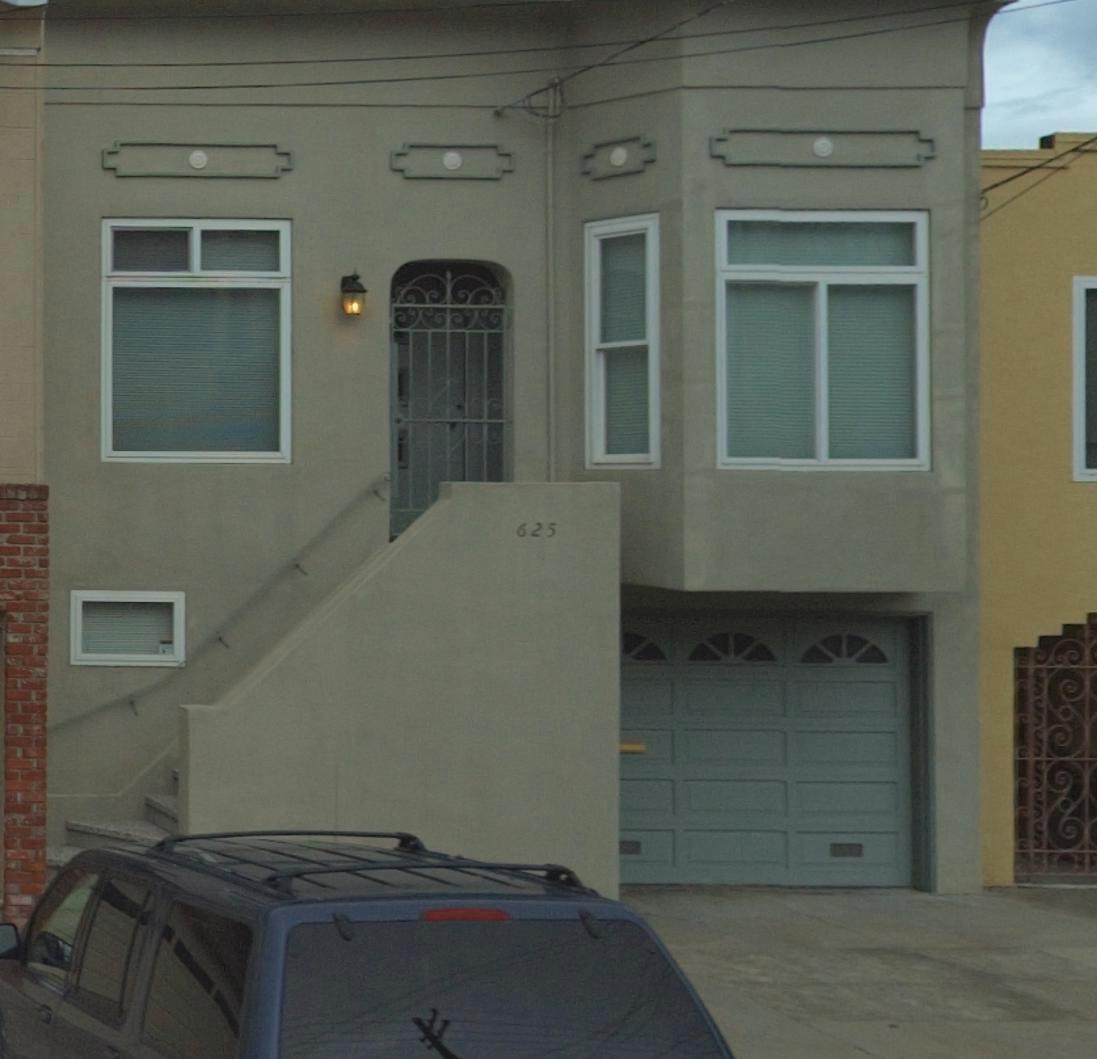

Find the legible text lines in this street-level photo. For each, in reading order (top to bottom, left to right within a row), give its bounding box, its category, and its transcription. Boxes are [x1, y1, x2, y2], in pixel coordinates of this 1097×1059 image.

[515, 521, 558, 538] StreetNumber: 625